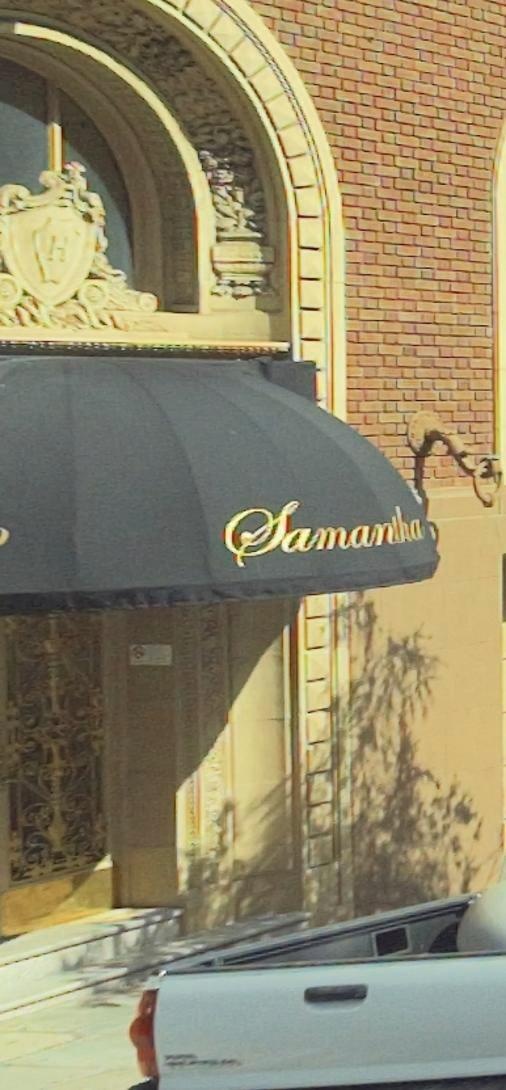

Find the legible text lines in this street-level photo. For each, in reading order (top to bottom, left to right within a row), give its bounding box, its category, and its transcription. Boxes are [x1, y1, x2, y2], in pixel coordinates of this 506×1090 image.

[220, 492, 432, 560] BusinessName: Samantha